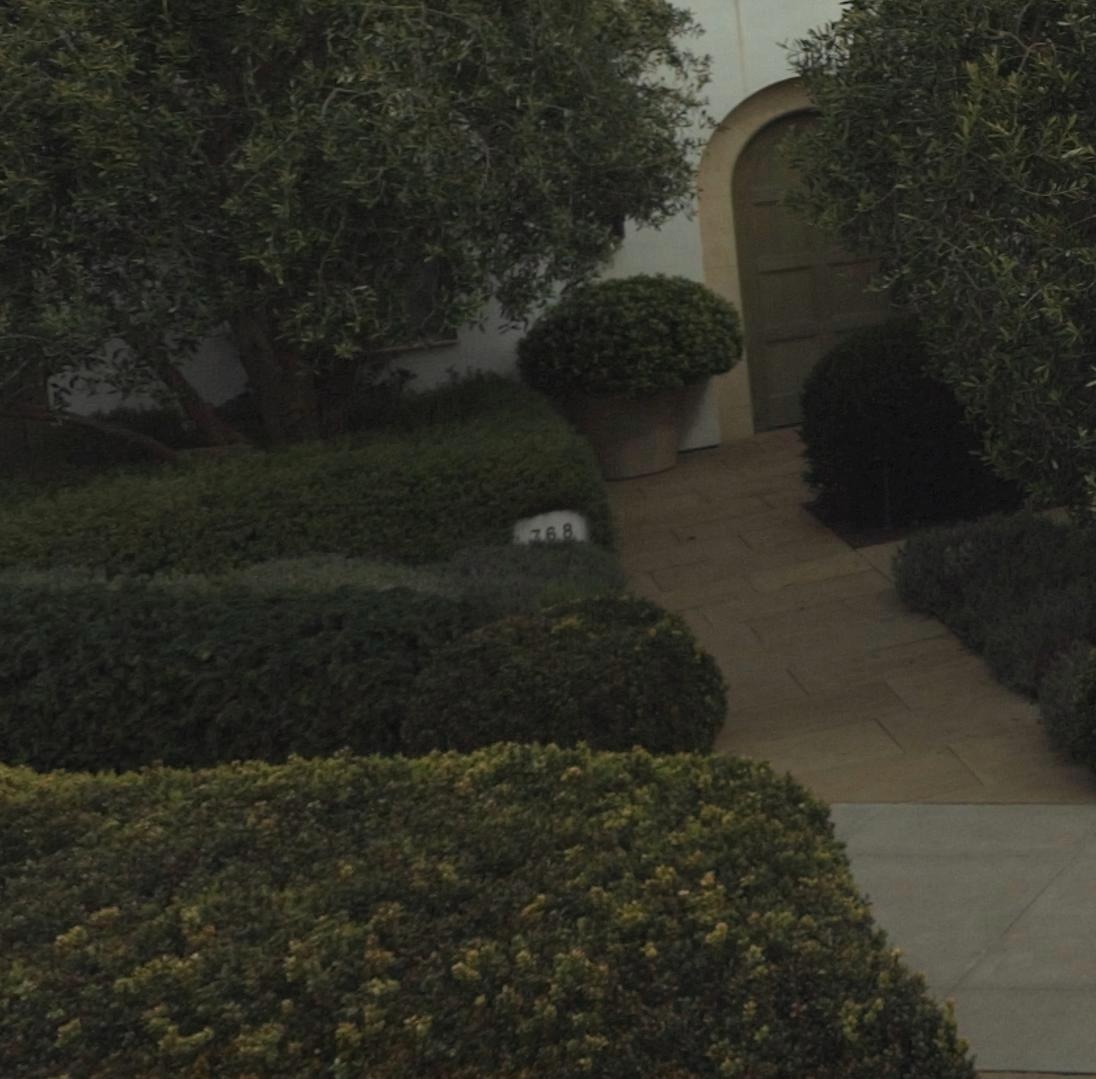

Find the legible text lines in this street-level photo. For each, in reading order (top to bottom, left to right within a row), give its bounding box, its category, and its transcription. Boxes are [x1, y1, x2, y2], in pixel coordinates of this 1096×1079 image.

[529, 521, 573, 541] StreetNumber: 768